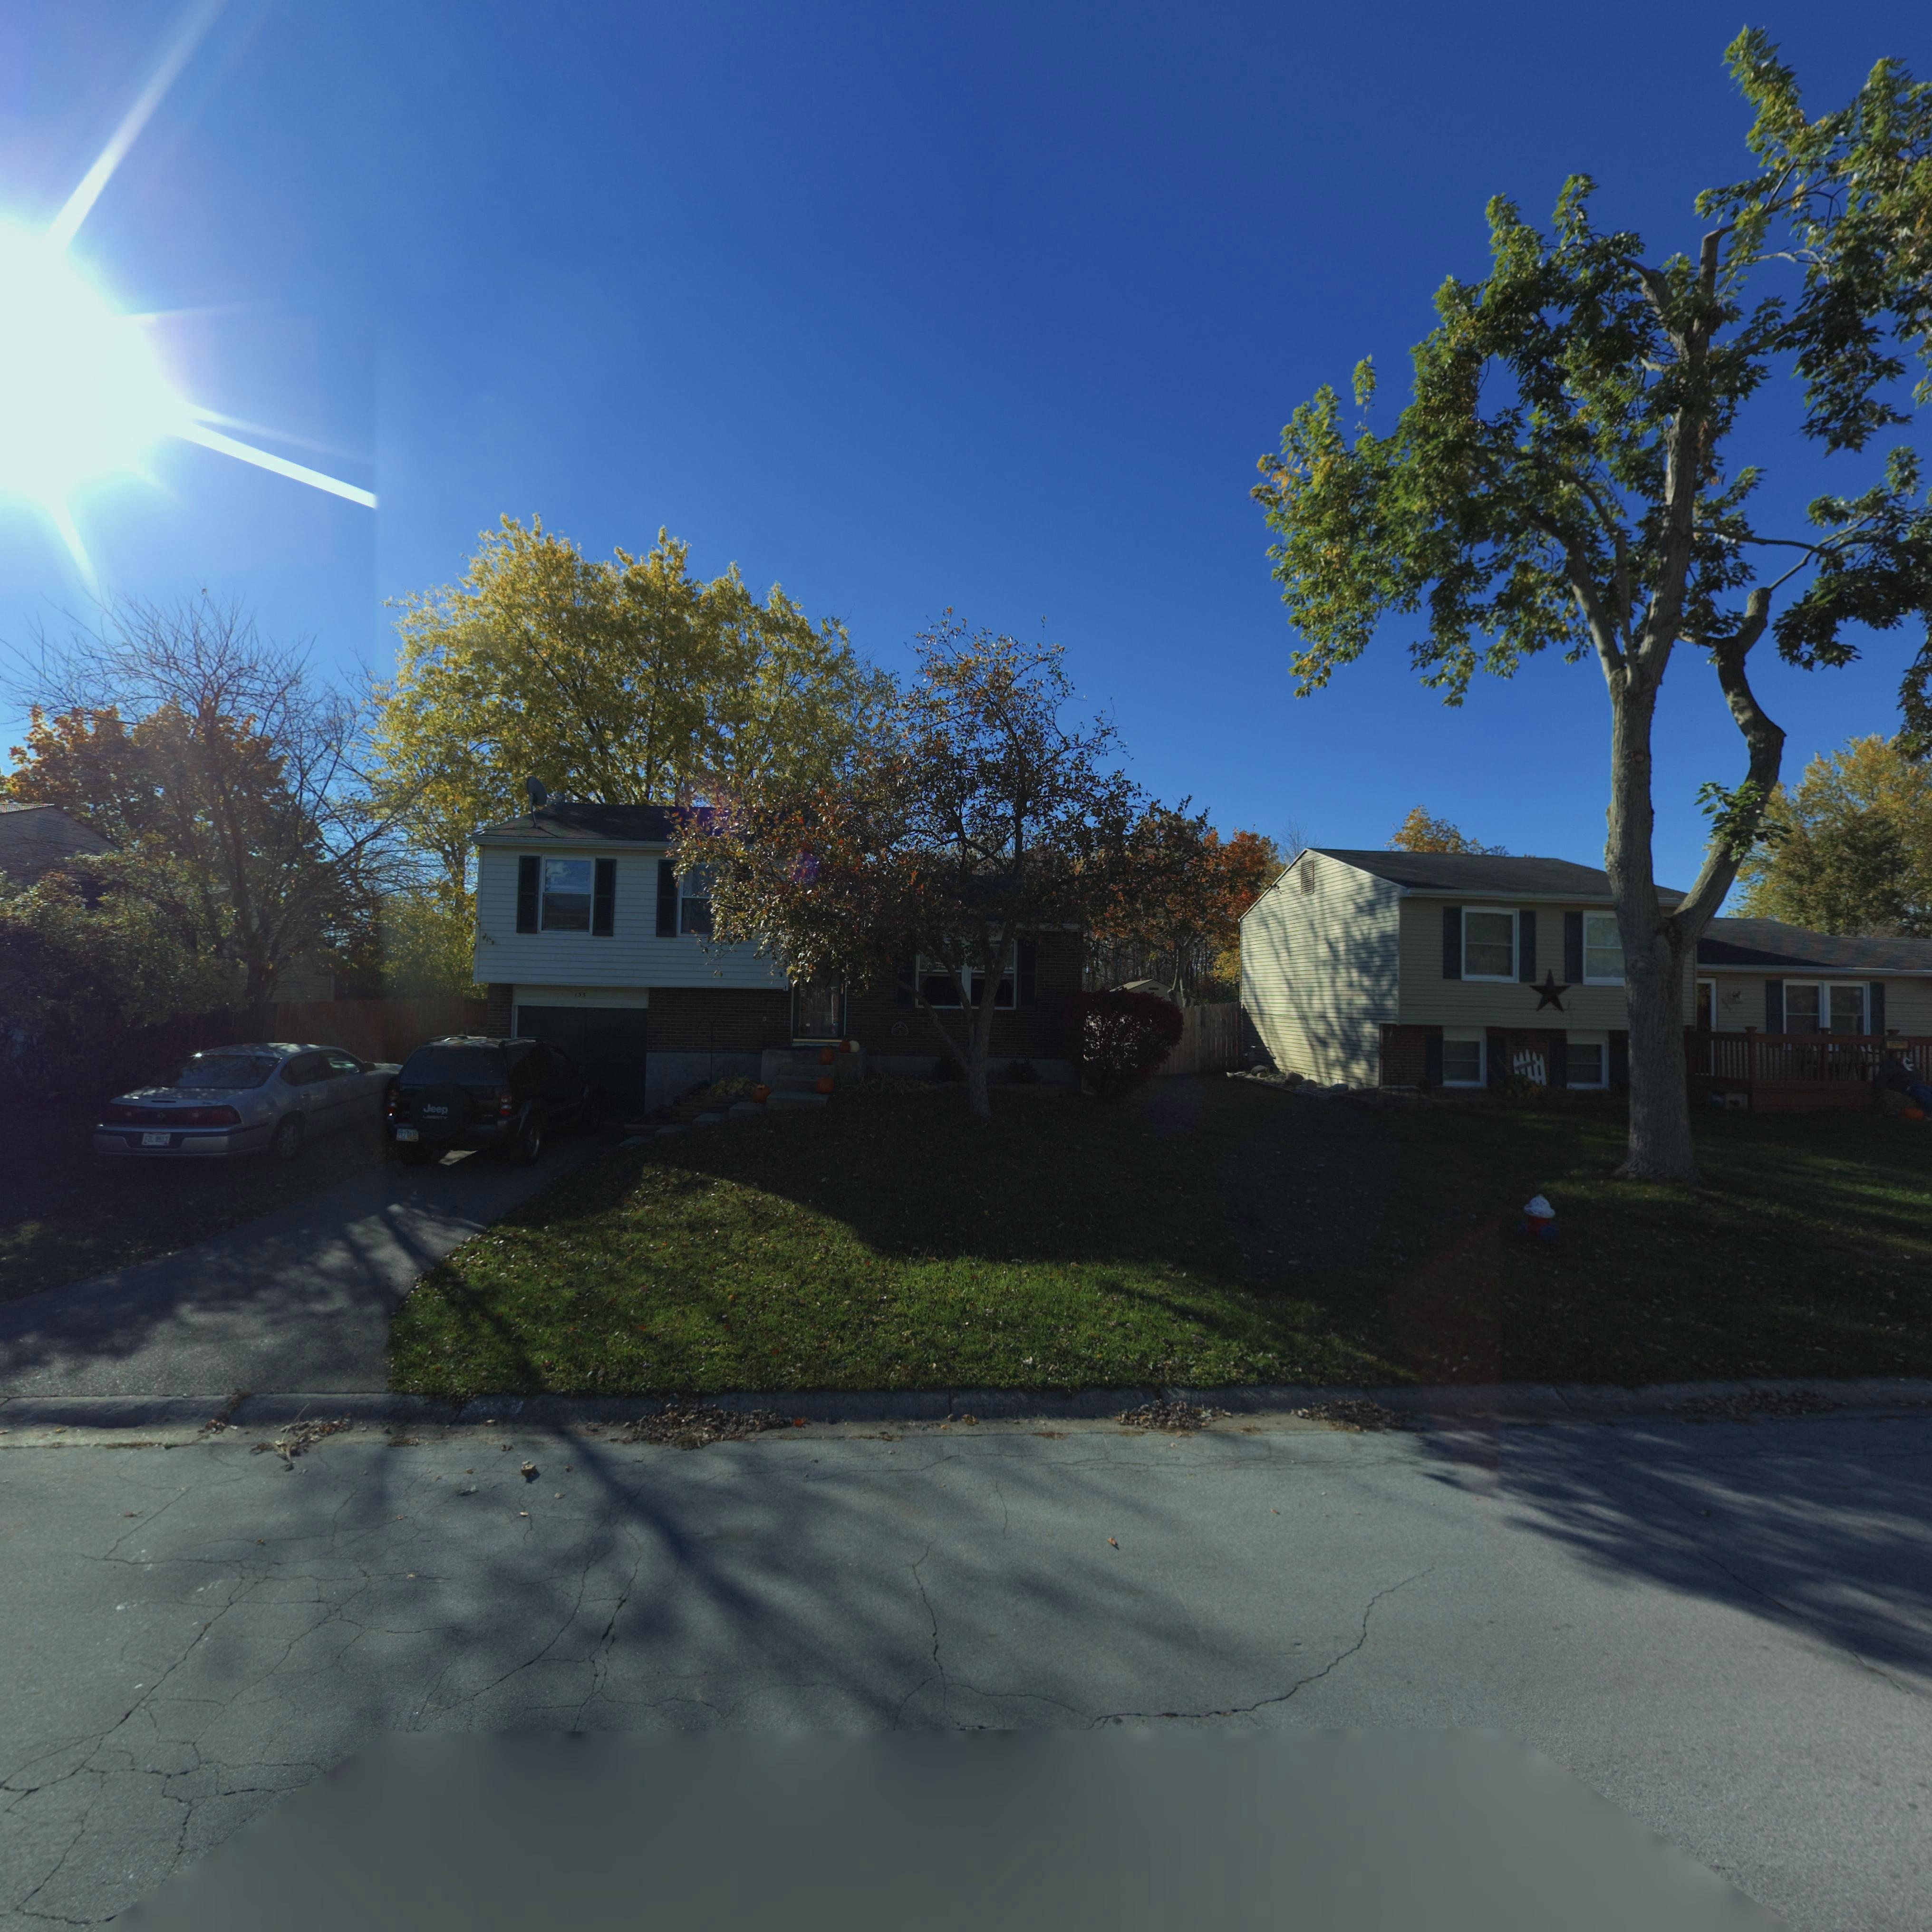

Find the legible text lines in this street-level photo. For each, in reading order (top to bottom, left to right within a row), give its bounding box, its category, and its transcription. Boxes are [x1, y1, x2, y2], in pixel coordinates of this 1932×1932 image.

[574, 992, 586, 998] StreetNumber: 135
[1720, 997, 1733, 1014] StreetNumber: 137